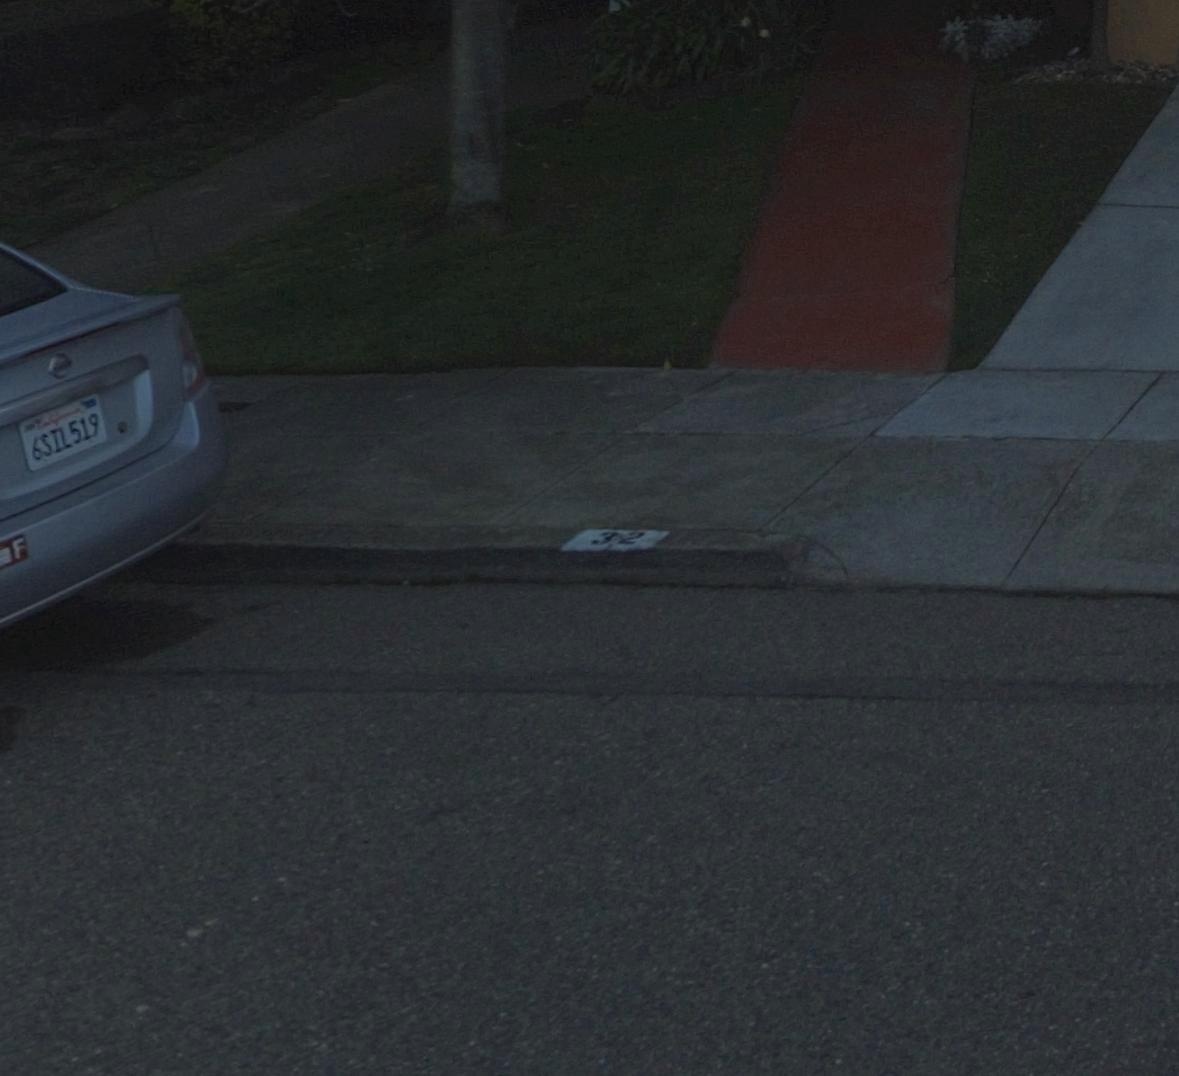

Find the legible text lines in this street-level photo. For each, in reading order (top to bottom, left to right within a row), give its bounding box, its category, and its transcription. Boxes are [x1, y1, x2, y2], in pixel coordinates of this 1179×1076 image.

[29, 408, 102, 464] None: 6SIL519
[9, 534, 29, 563] None: F
[583, 530, 650, 548] StreetNumber: 32